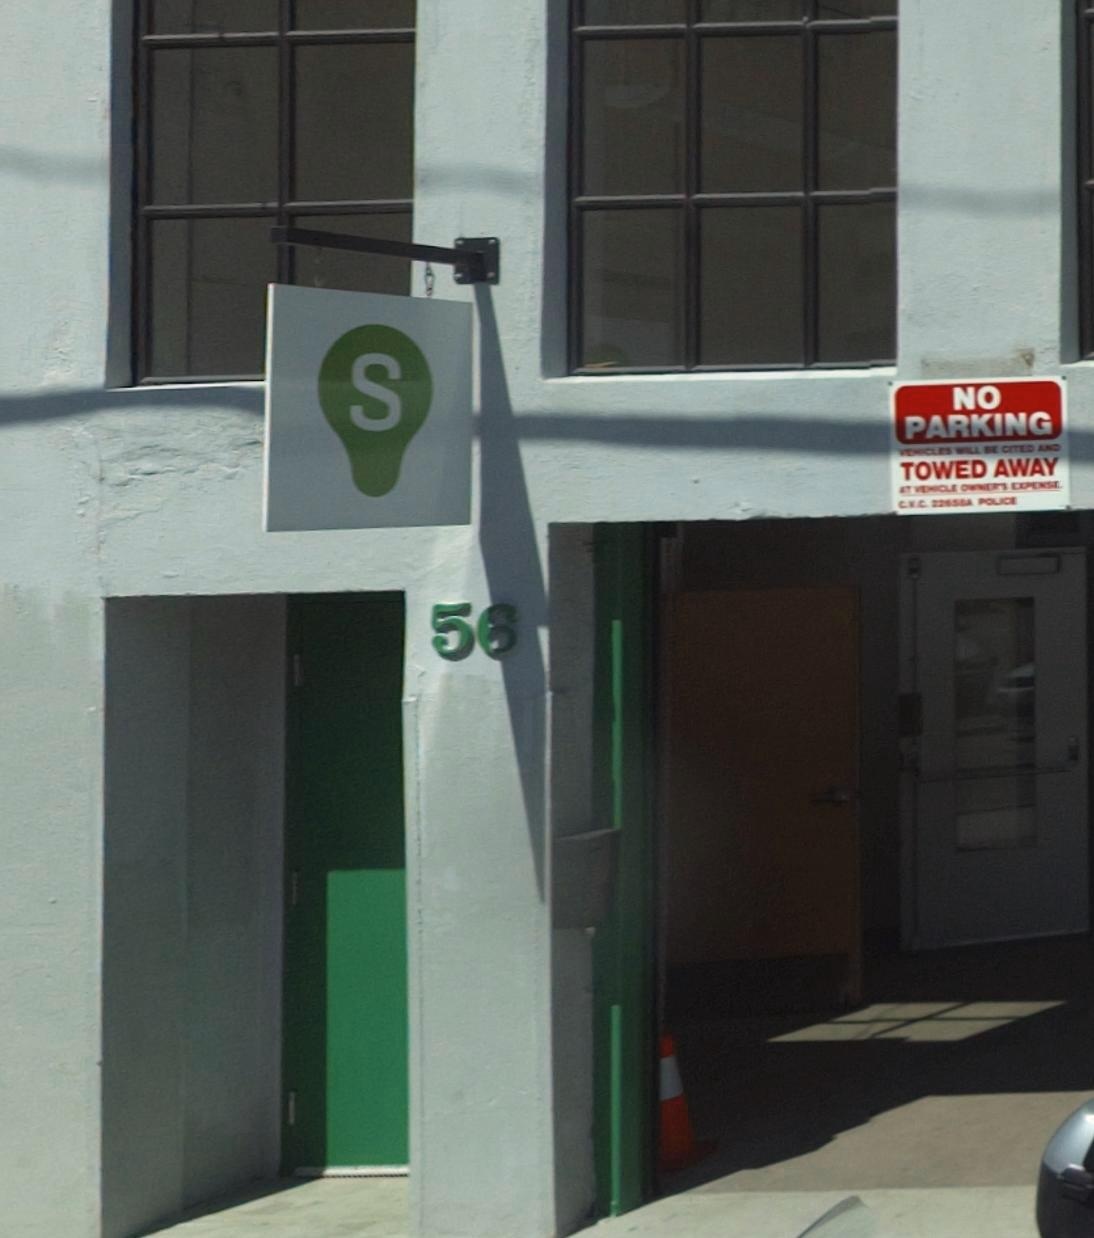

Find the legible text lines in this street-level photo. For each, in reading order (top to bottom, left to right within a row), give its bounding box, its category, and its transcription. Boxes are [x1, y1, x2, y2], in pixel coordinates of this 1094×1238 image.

[347, 351, 405, 434] None: S
[951, 384, 1004, 411] None: NO
[903, 410, 1054, 440] None: PARKING
[899, 457, 1060, 481] None: TOWED AWAY
[430, 602, 520, 659] StreetNumber: 56